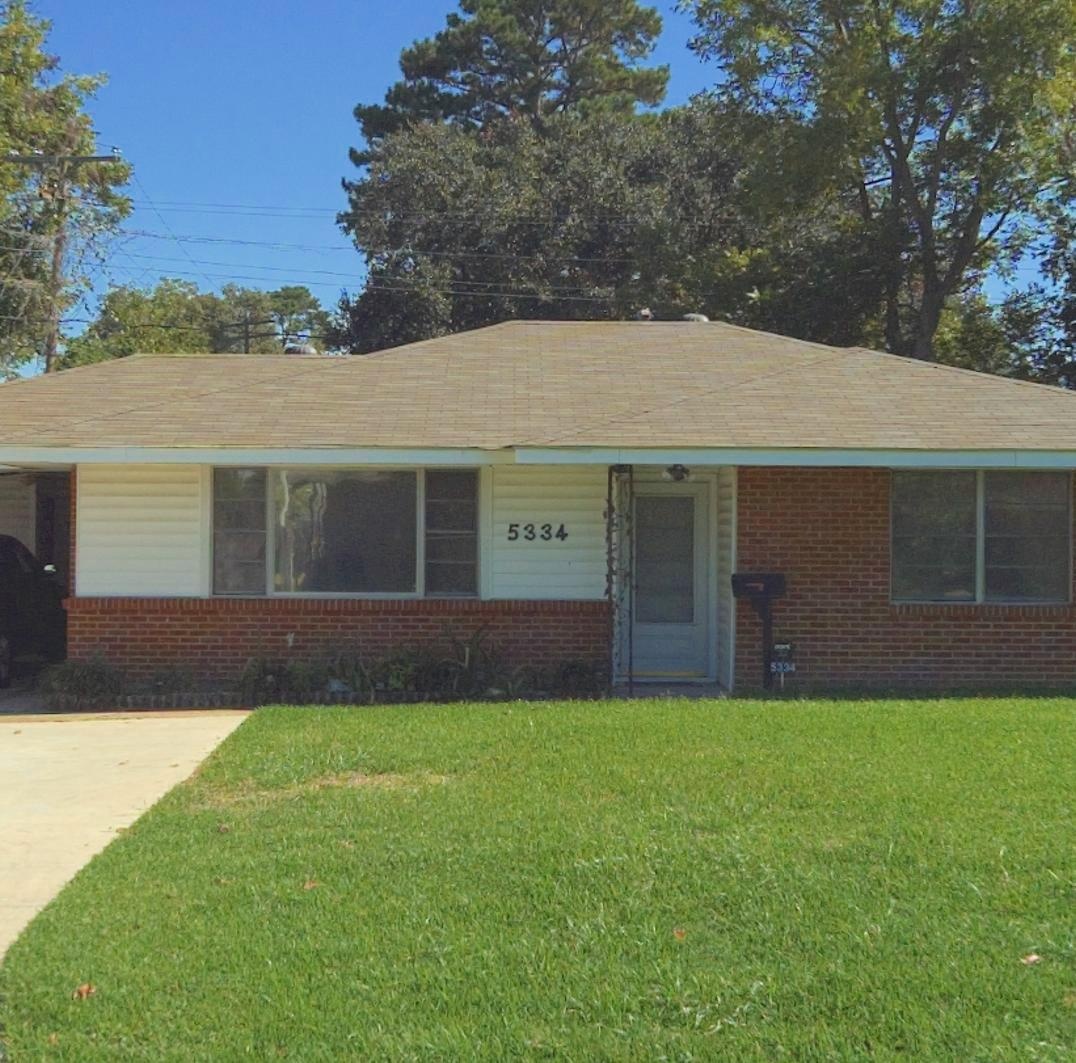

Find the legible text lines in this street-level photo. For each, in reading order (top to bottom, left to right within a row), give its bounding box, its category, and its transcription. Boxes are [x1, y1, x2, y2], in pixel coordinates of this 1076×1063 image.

[506, 522, 570, 542] StreetNumber: 5334
[769, 661, 796, 673] StreetNumber: 5334